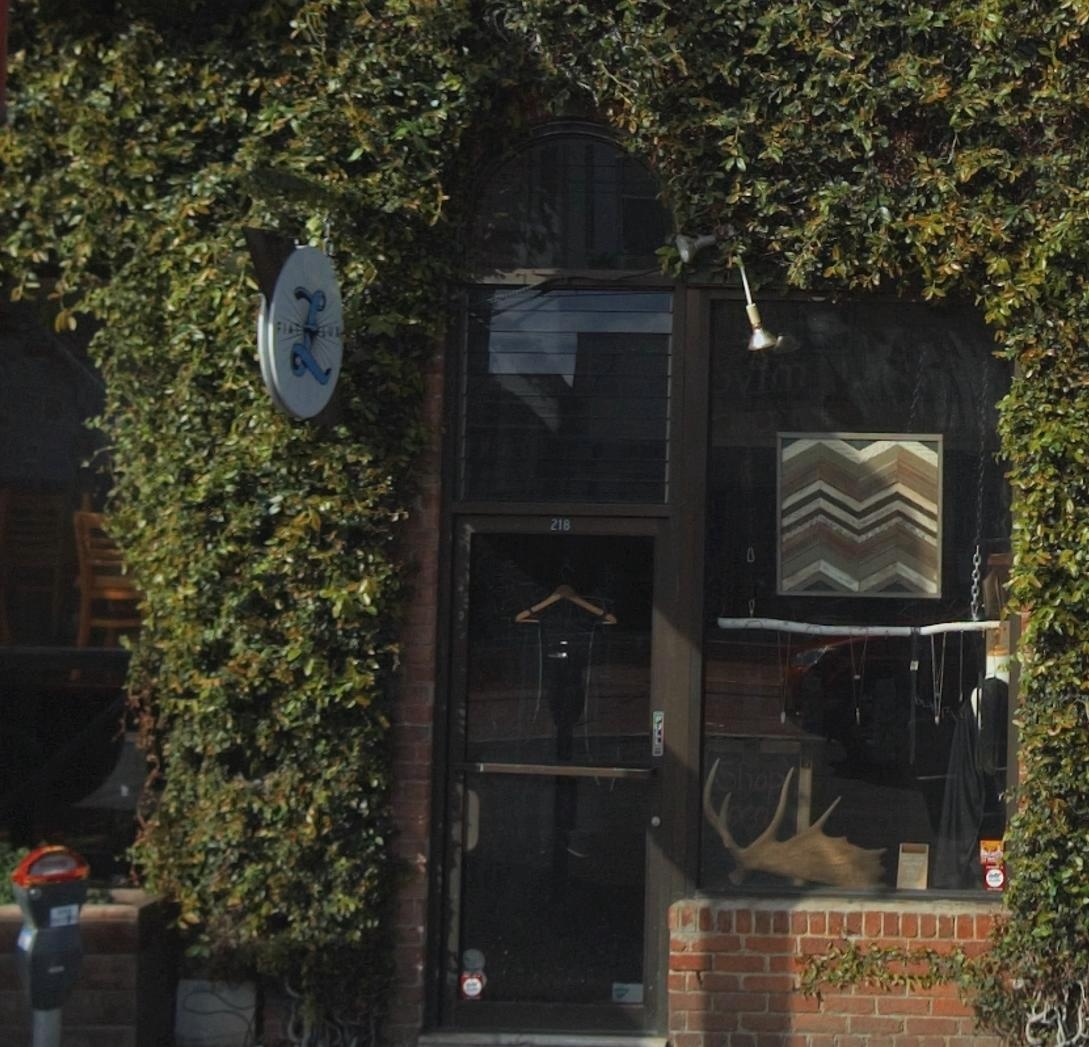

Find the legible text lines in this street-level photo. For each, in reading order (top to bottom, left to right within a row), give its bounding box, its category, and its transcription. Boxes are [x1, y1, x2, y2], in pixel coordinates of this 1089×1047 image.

[286, 282, 335, 388] None: L
[548, 516, 572, 532] StreetNumber: 218
[654, 713, 664, 747] None: PULL
[711, 756, 788, 809] None: Shop